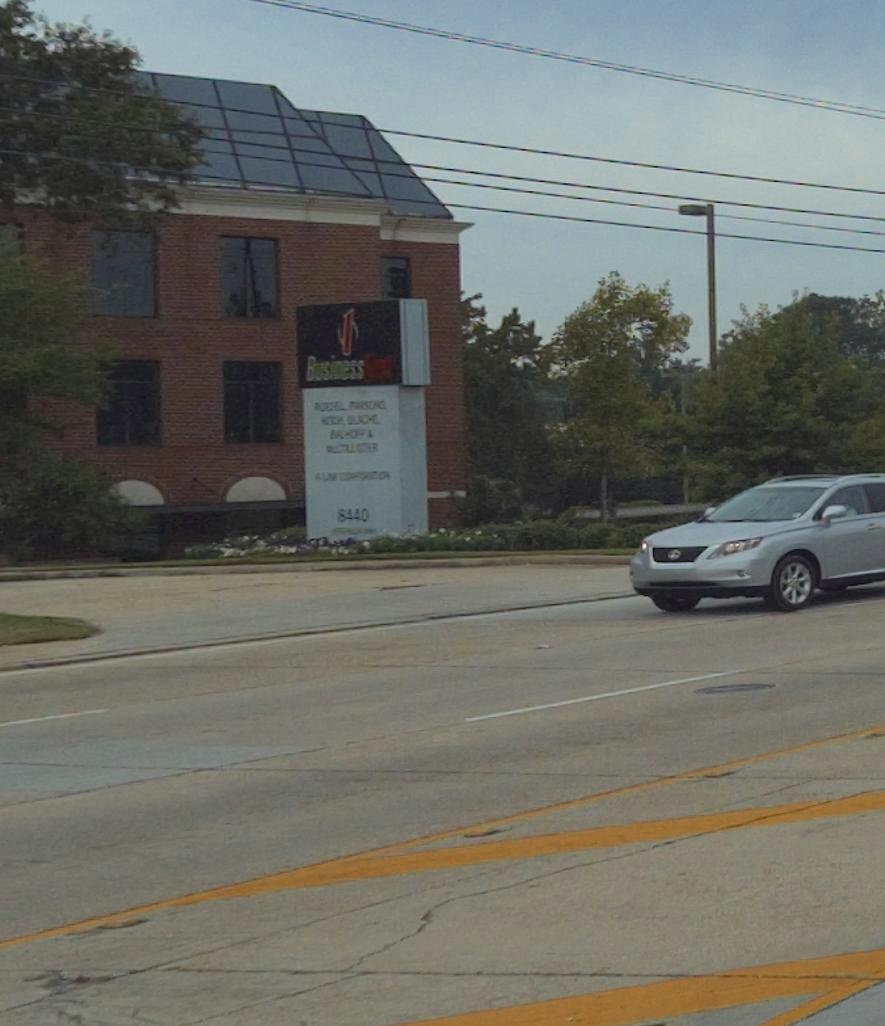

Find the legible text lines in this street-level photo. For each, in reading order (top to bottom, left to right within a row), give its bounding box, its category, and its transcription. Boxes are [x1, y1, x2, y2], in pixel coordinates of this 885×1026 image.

[305, 351, 393, 383] BusinessName: Business
[336, 507, 370, 523] StreetNumber: 8440